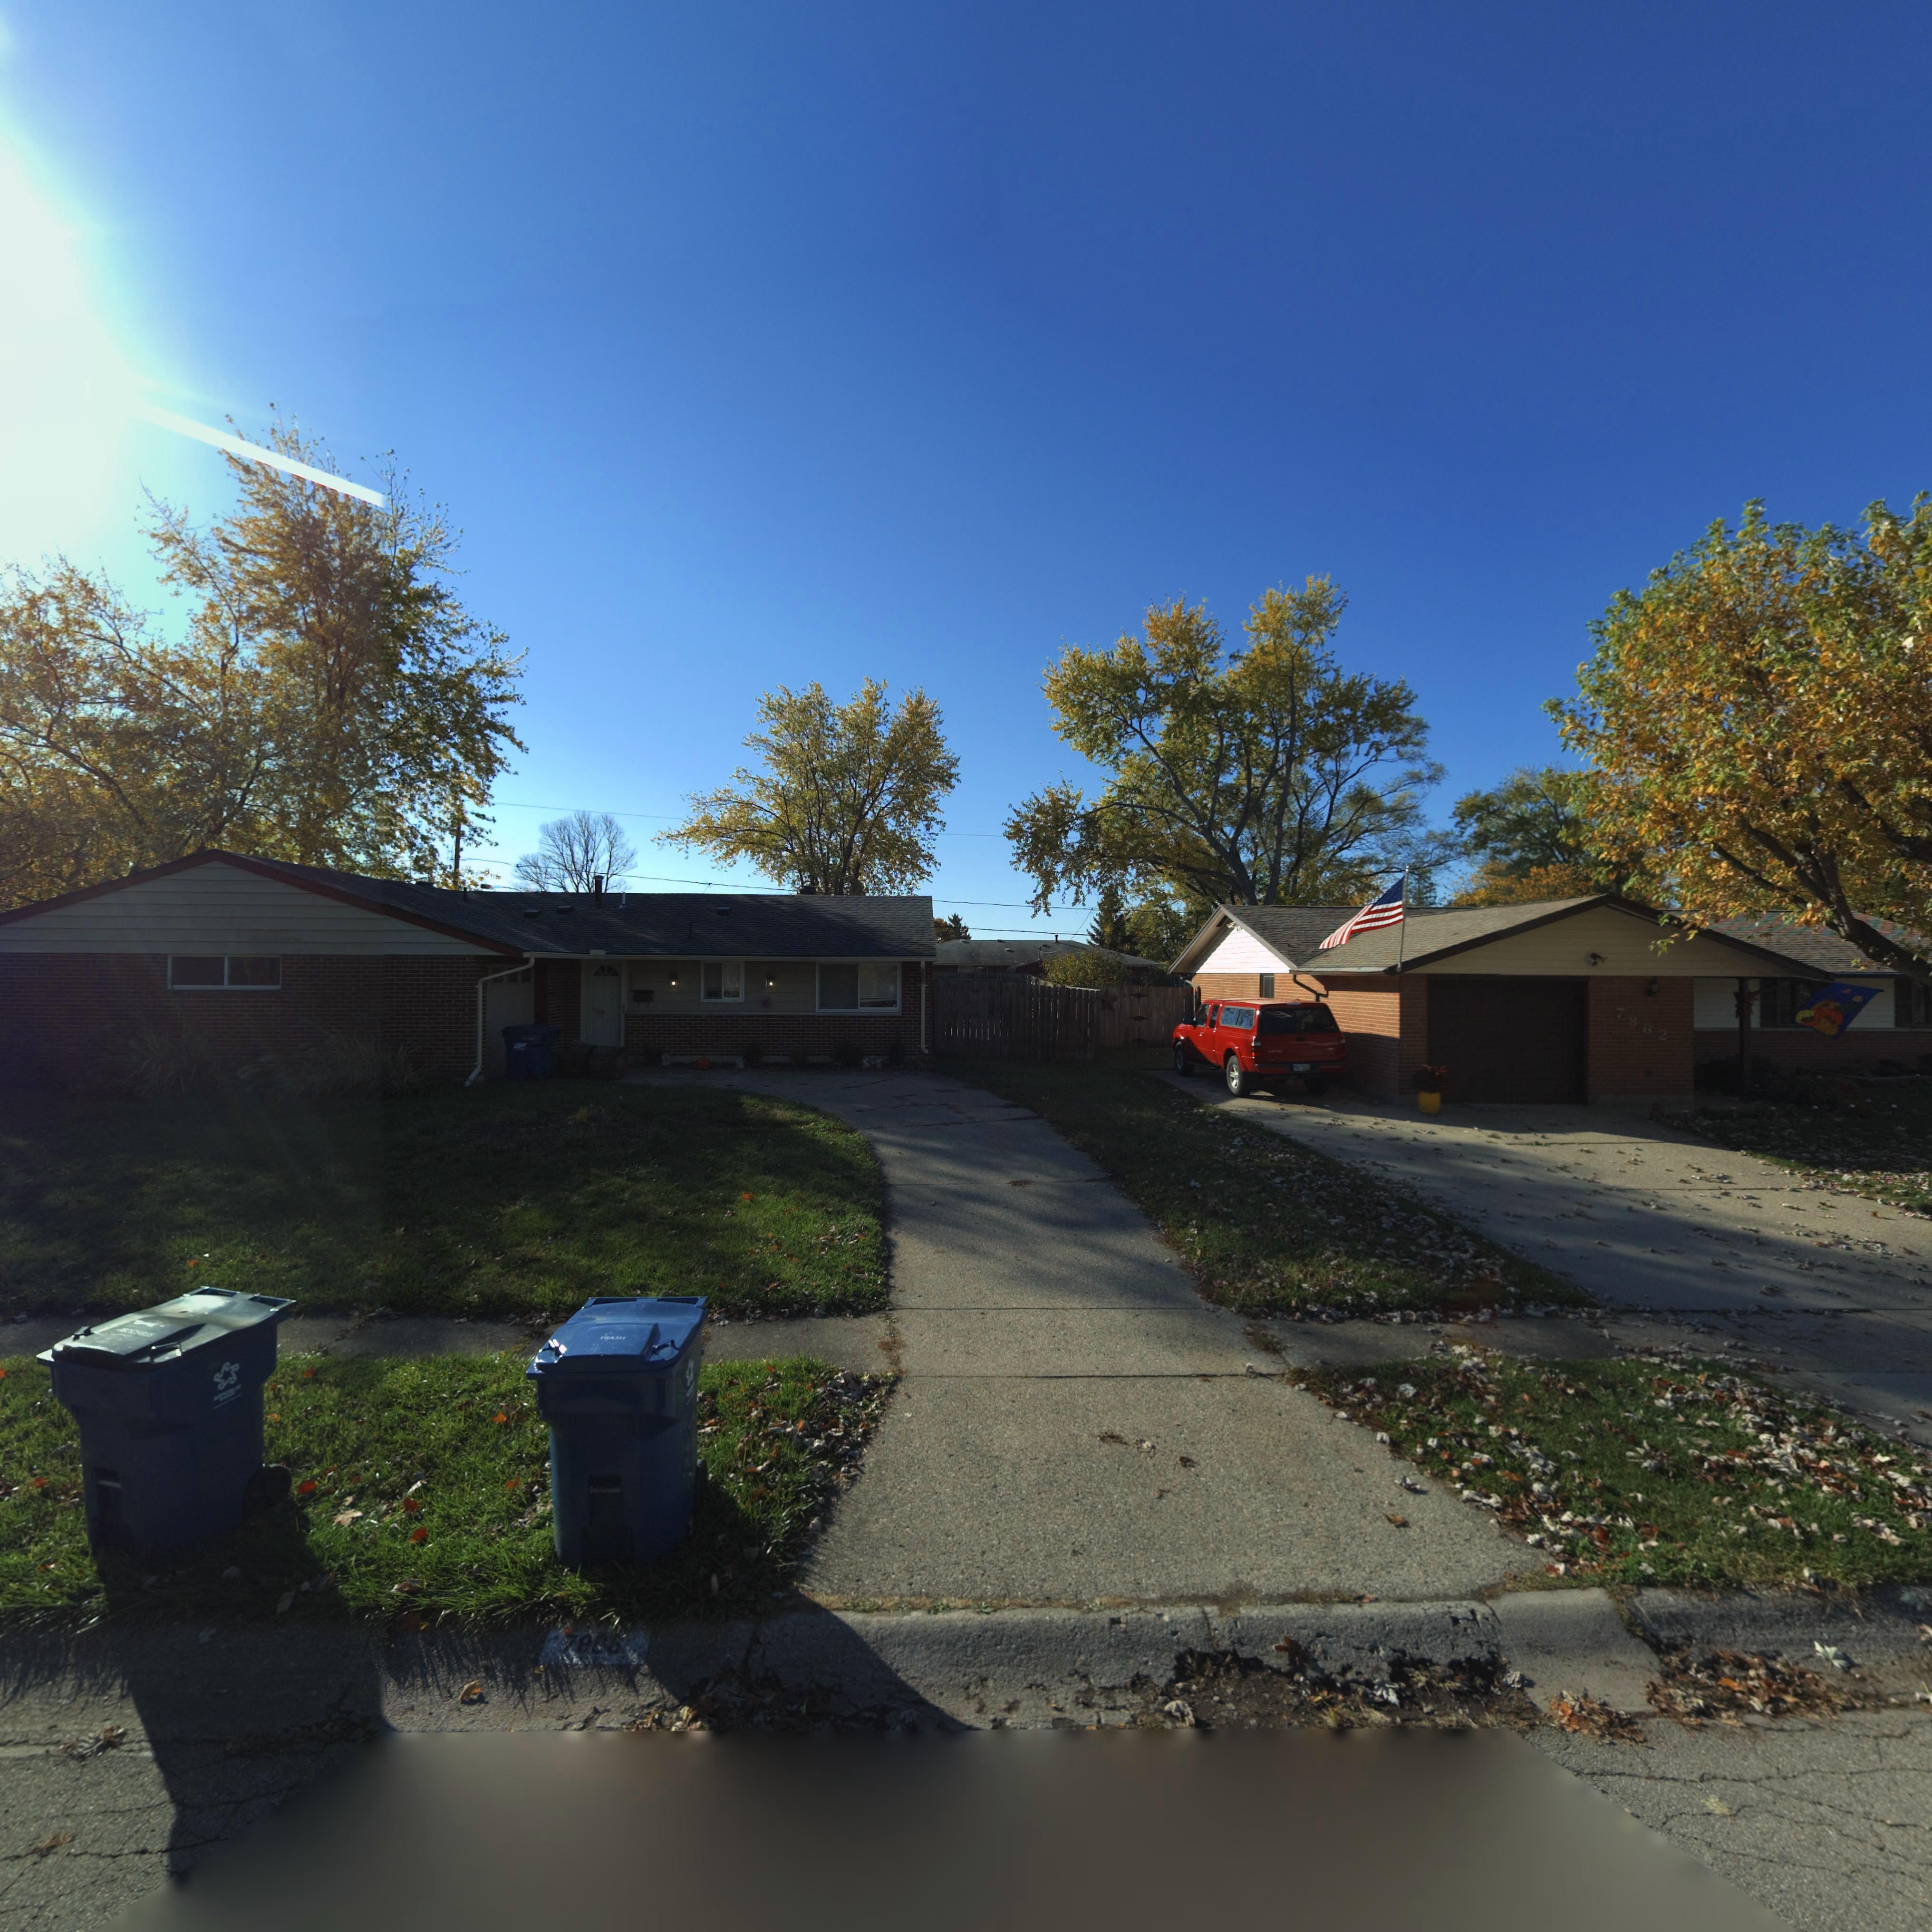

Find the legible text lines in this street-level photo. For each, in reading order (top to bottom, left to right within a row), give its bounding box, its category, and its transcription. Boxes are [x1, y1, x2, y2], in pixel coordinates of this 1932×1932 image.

[628, 971, 634, 993] StreetNumber: 7*66
[1615, 1007, 1668, 1042] StreetNumber: 7862
[558, 1632, 626, 1656] StreetNumber: 7886